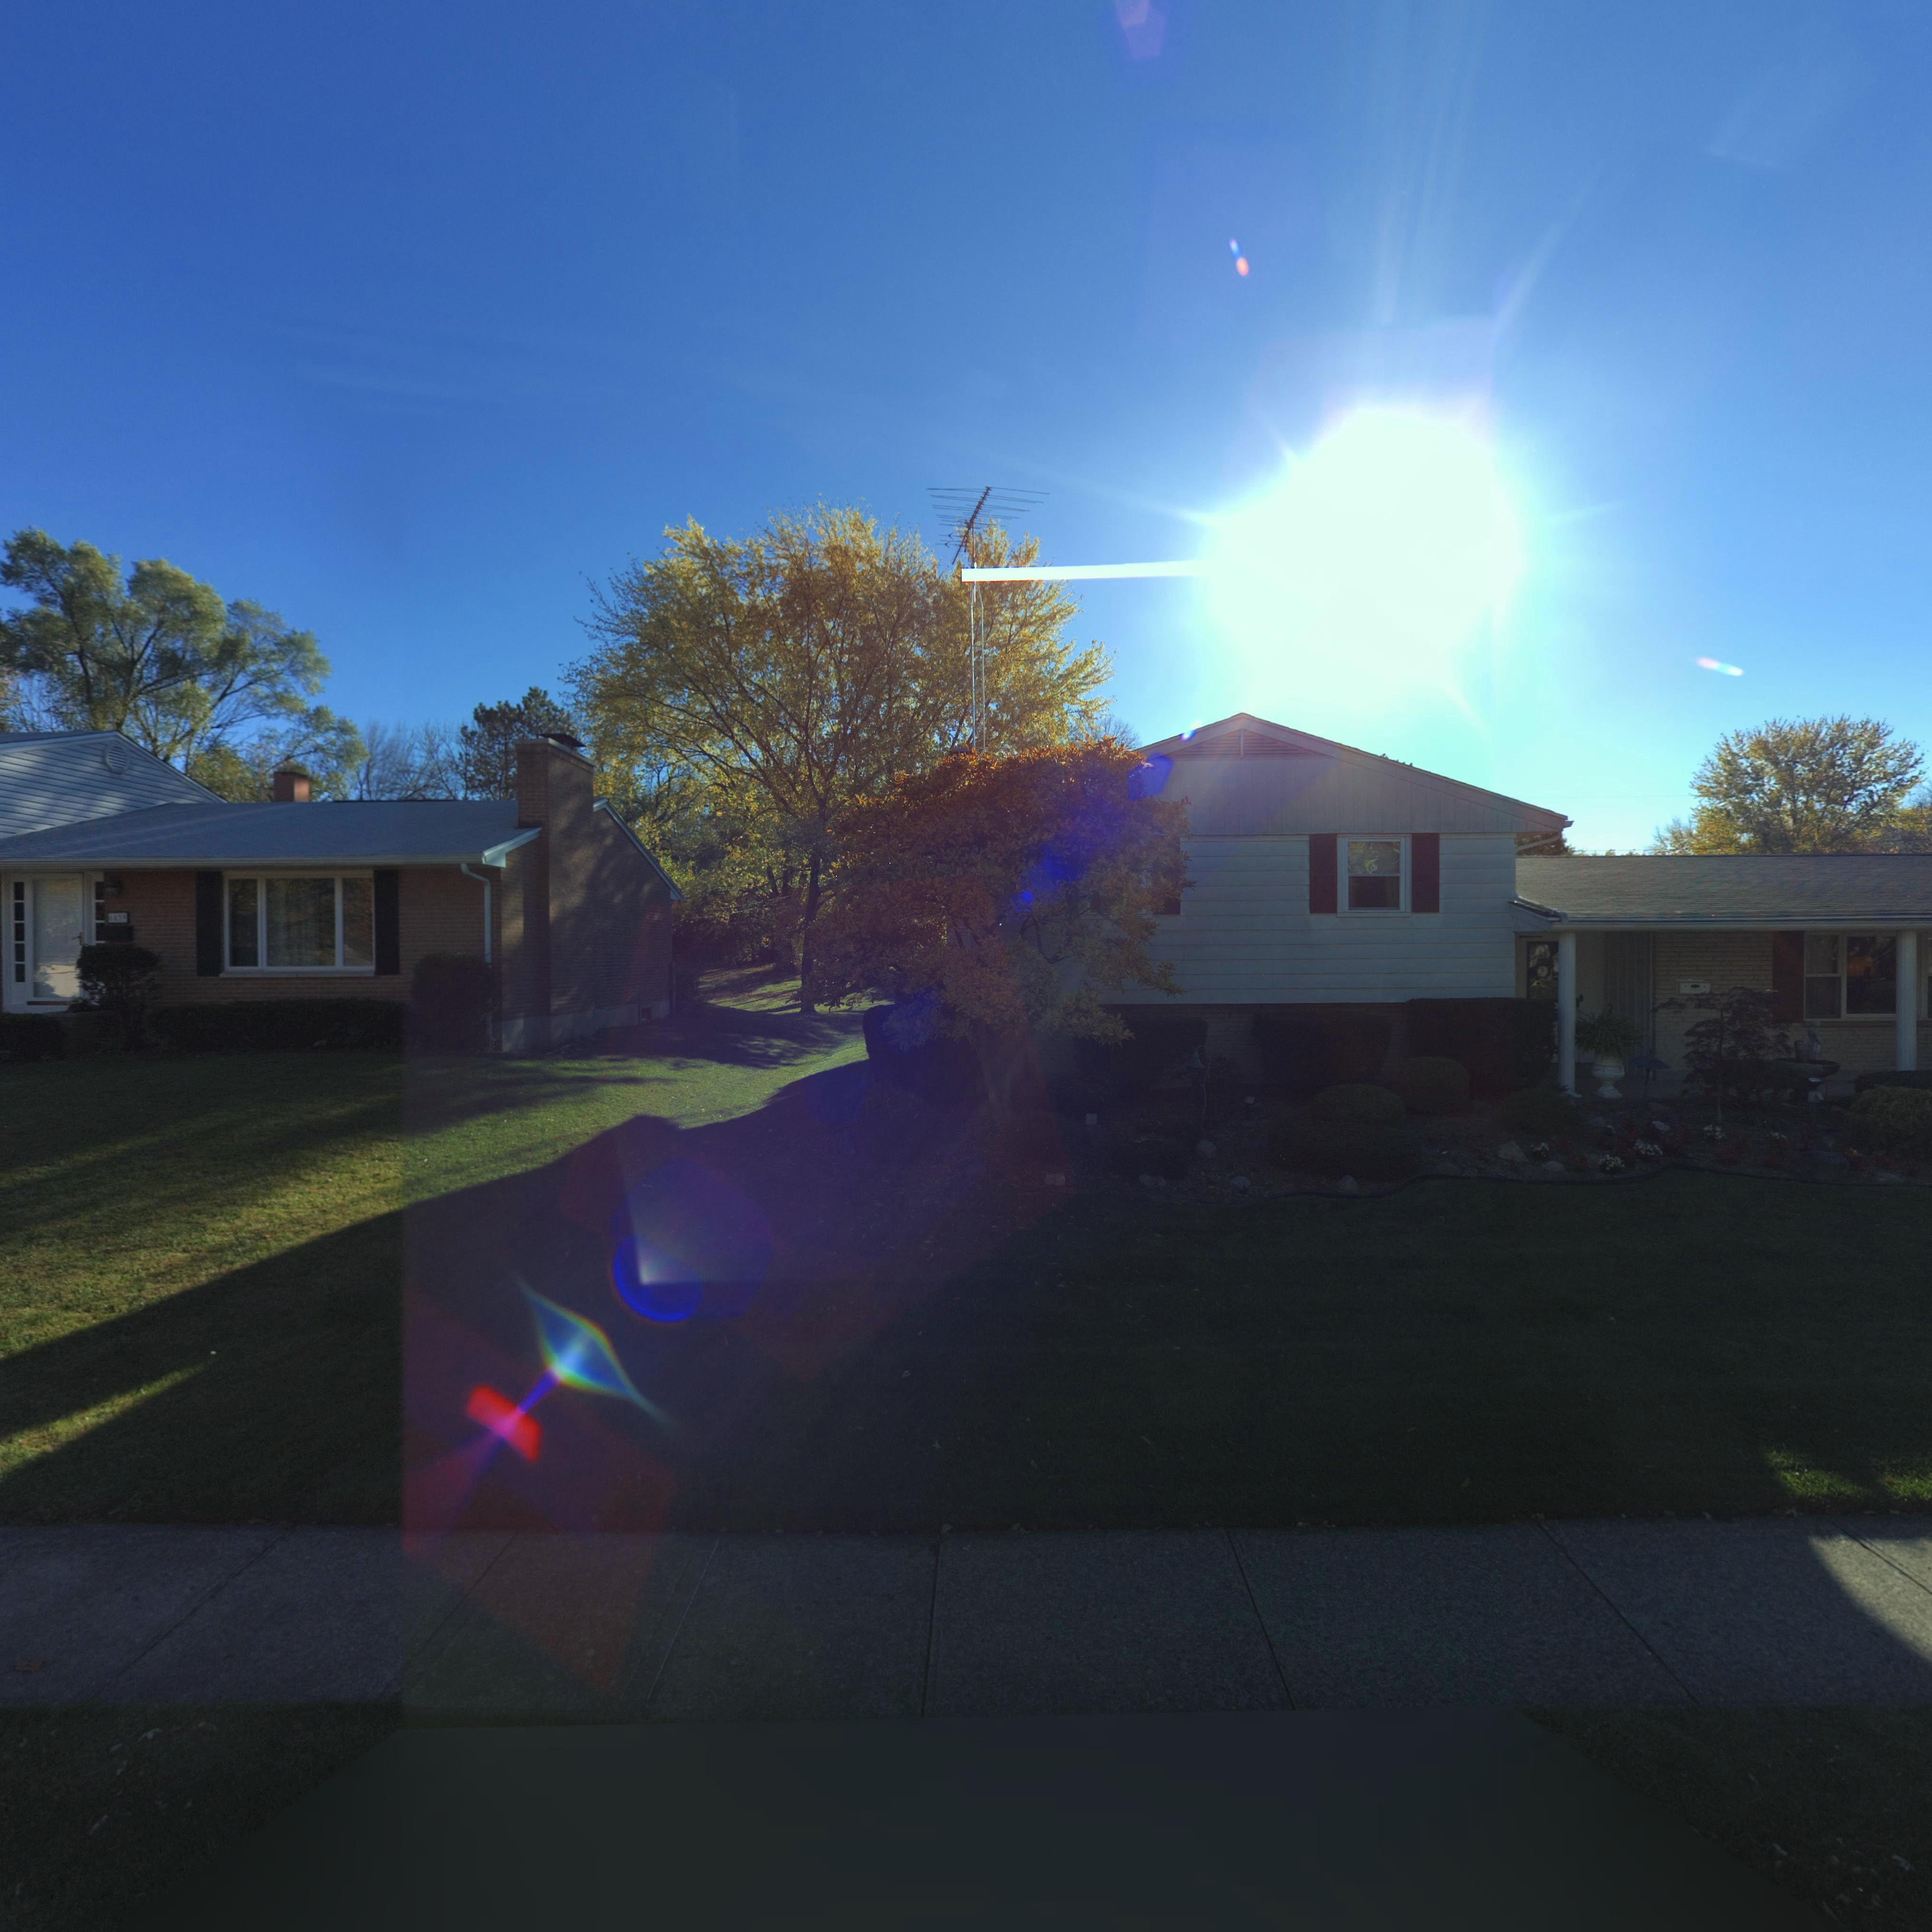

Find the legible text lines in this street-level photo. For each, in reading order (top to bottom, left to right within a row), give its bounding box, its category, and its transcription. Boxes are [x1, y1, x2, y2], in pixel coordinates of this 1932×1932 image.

[108, 914, 128, 921] StreetNumber: 68**